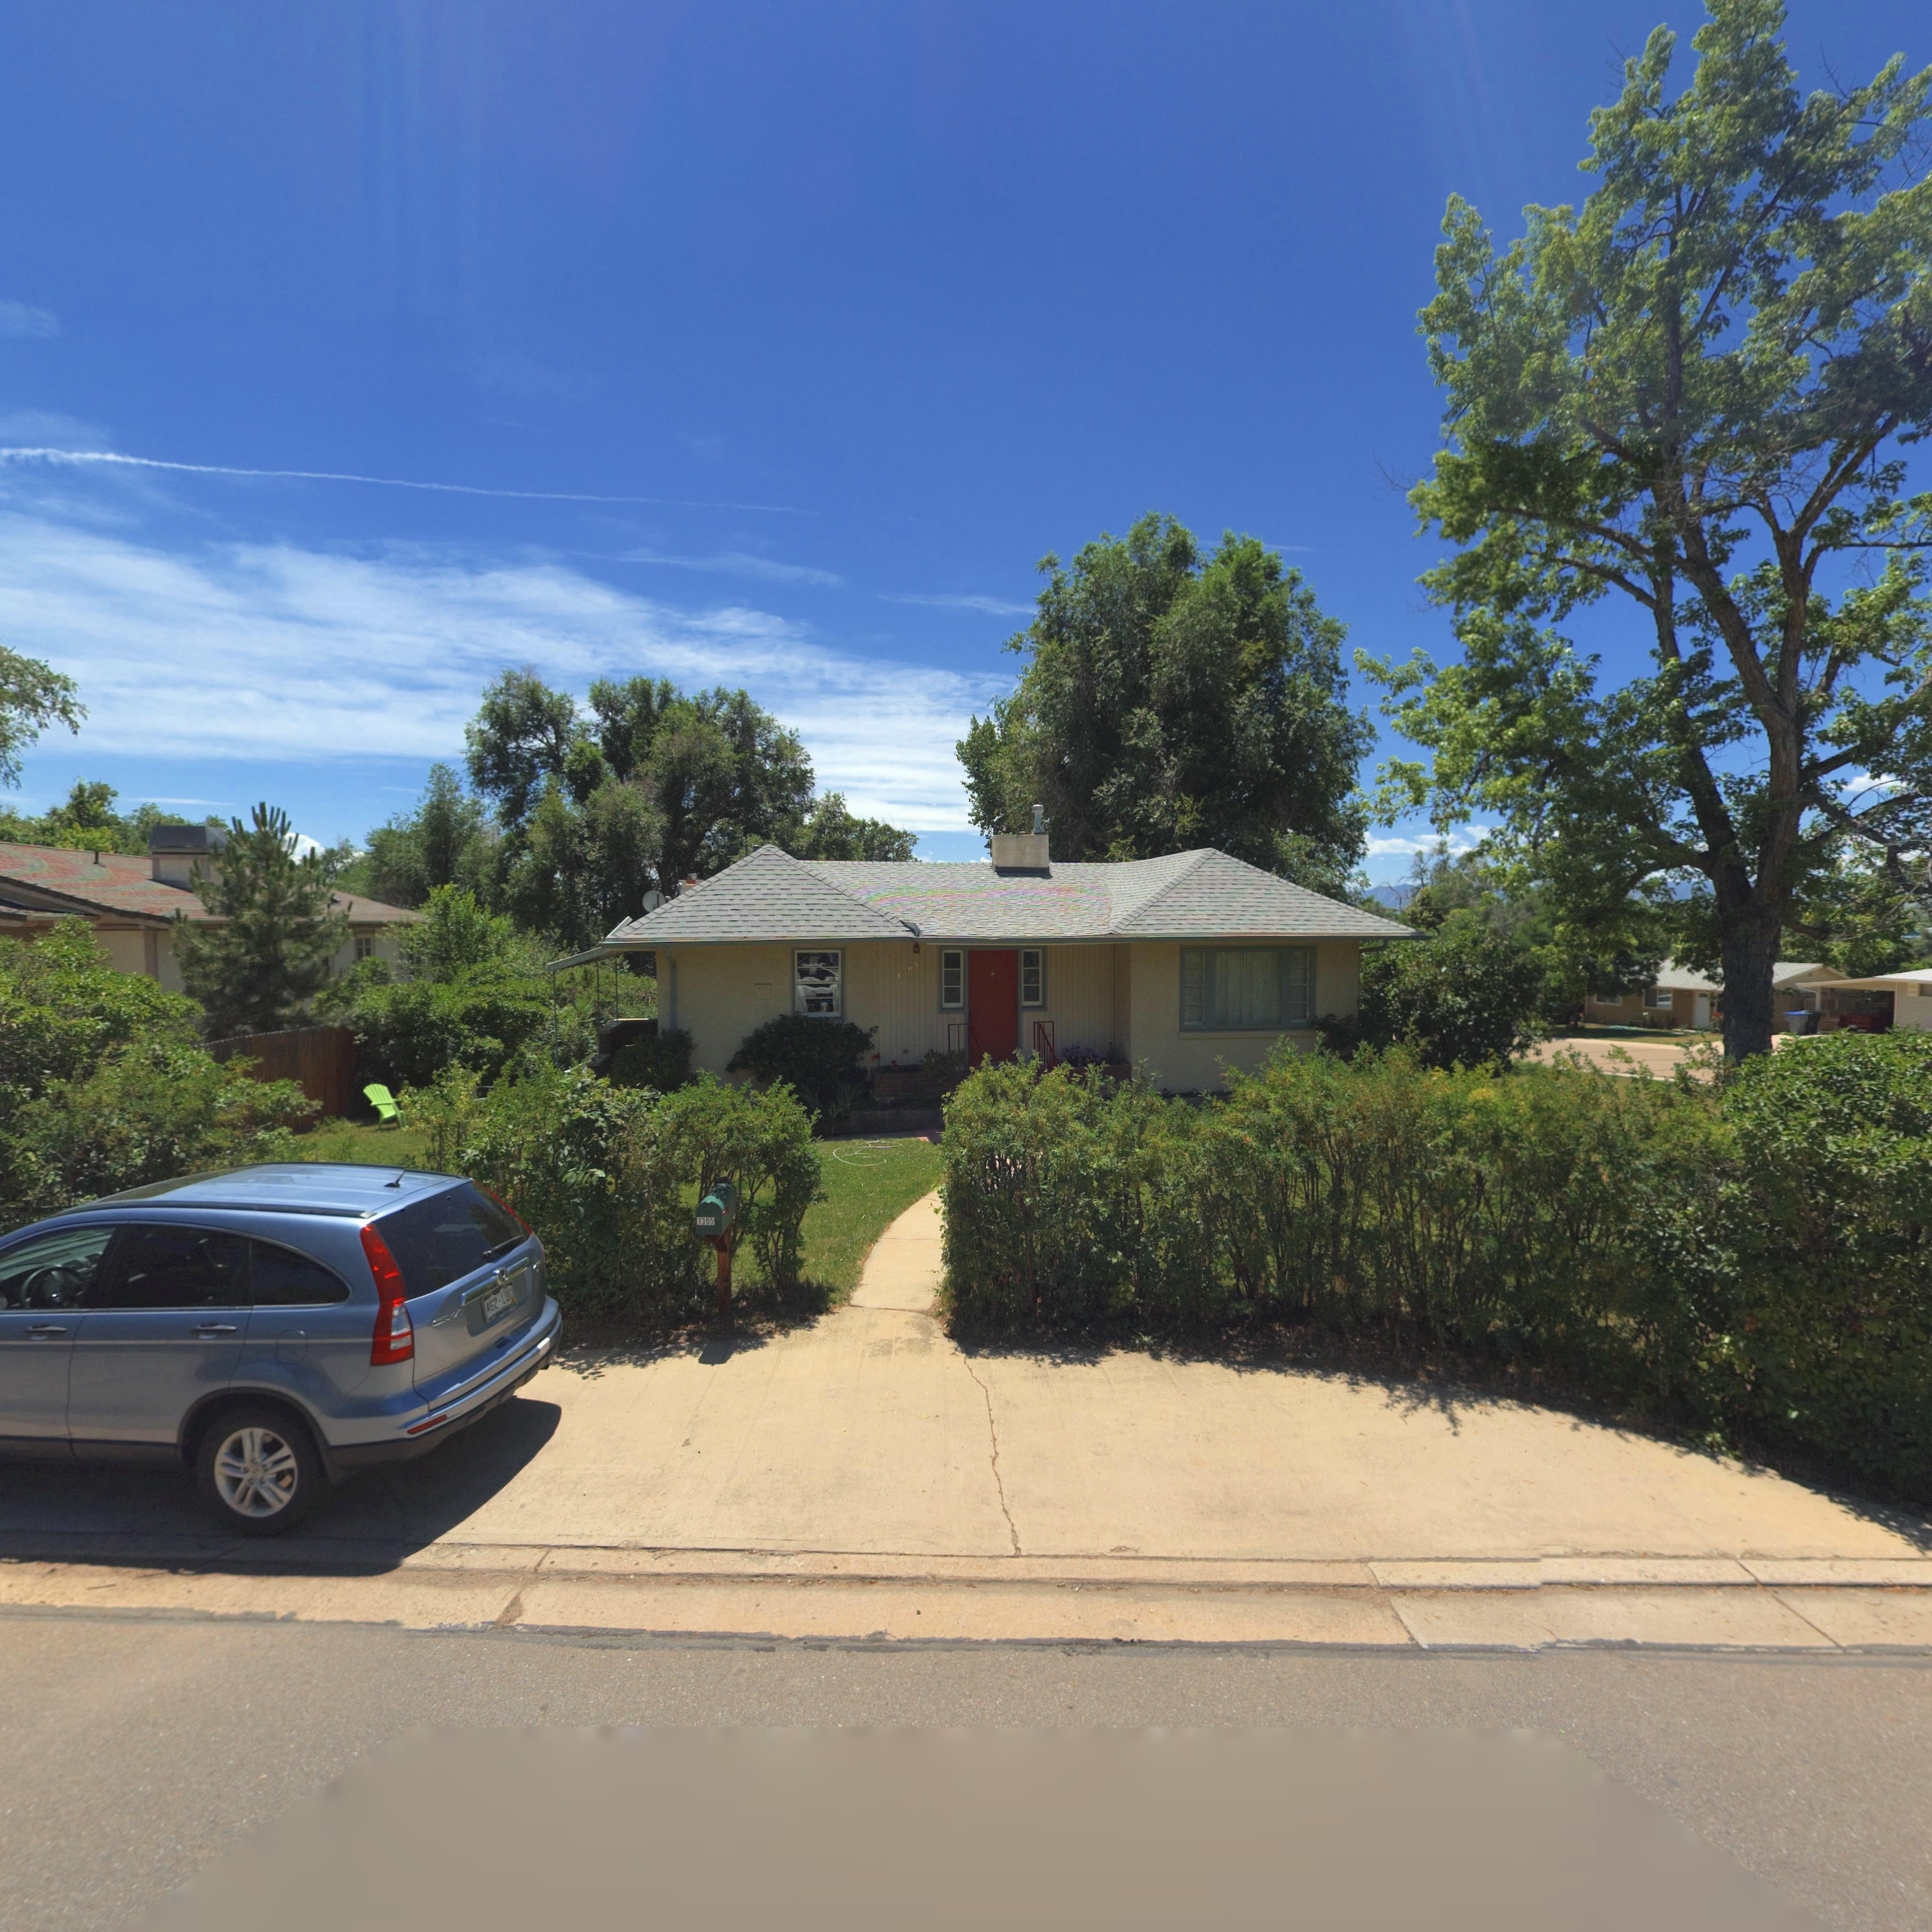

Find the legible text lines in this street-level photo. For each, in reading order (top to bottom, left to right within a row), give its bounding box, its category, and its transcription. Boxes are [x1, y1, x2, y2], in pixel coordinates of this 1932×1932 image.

[897, 961, 918, 979] StreetNumber: 1305
[698, 1217, 714, 1225] StreetNumber: 1305